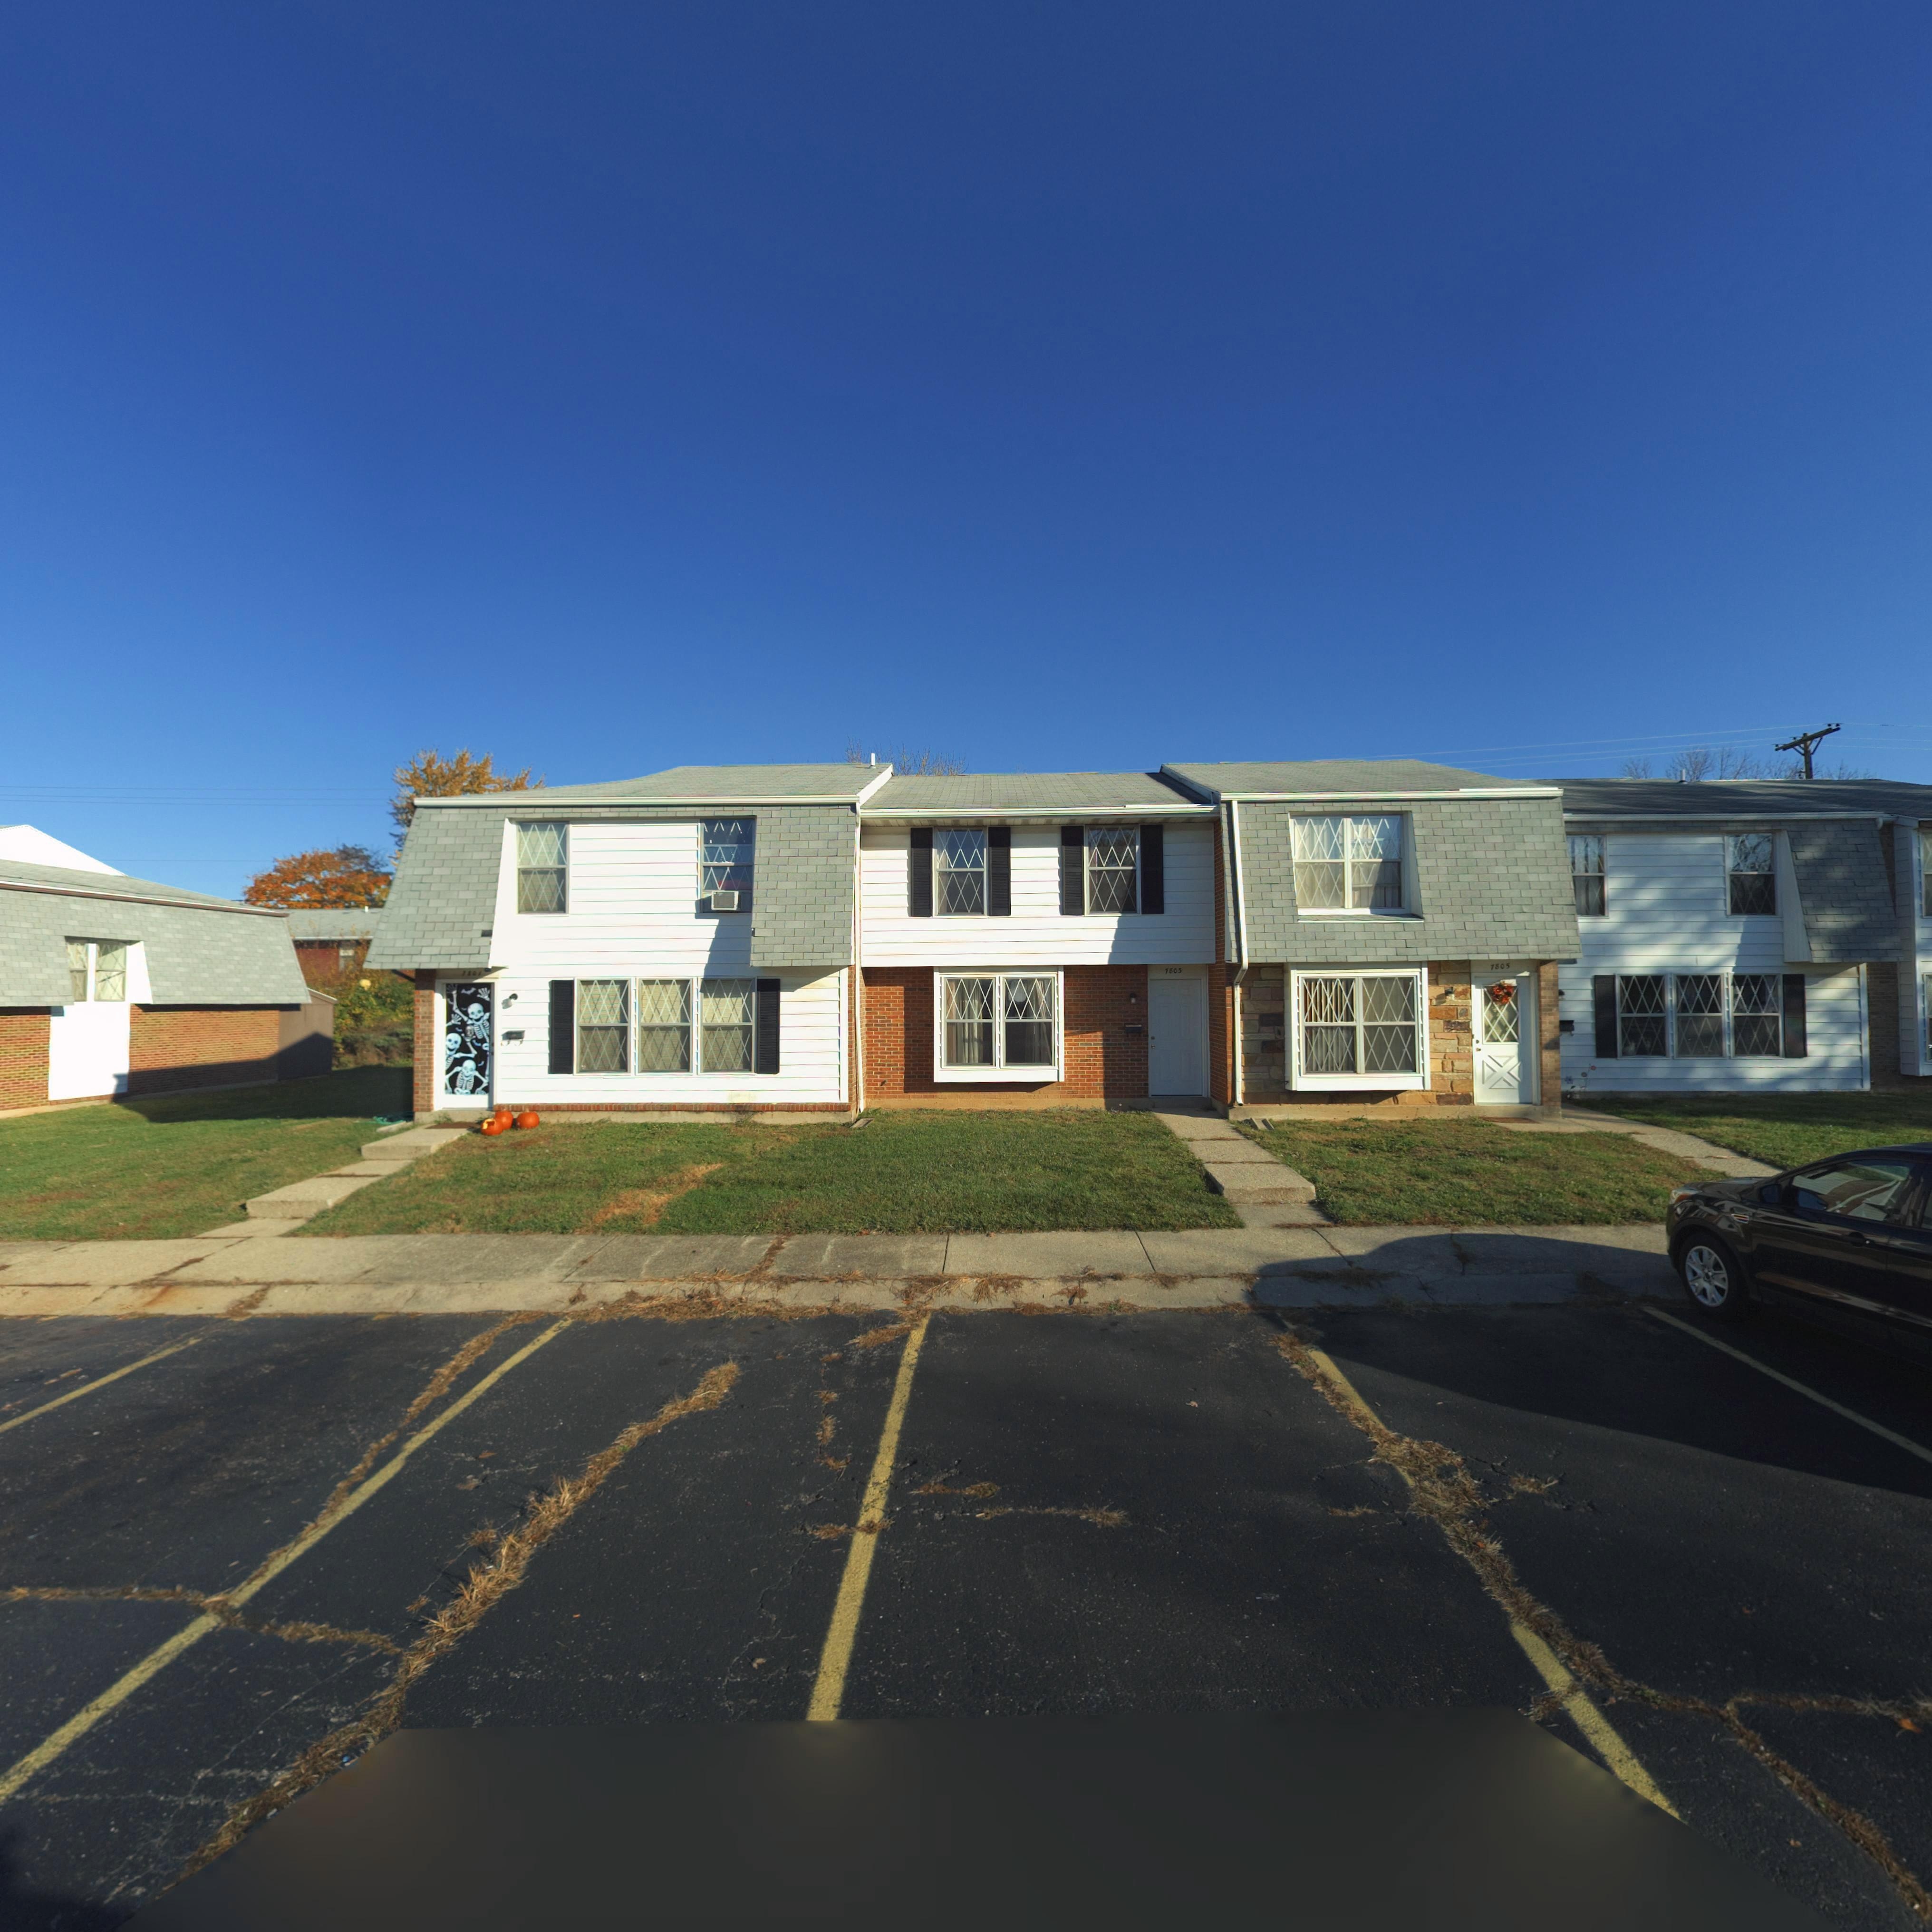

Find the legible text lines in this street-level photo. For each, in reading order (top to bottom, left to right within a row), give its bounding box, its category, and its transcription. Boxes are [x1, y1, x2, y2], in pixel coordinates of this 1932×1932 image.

[1489, 962, 1511, 971] StreetNumber: 7805
[461, 970, 483, 977] StreetNumber: 7801
[1164, 967, 1183, 975] StreetNumber: 7803